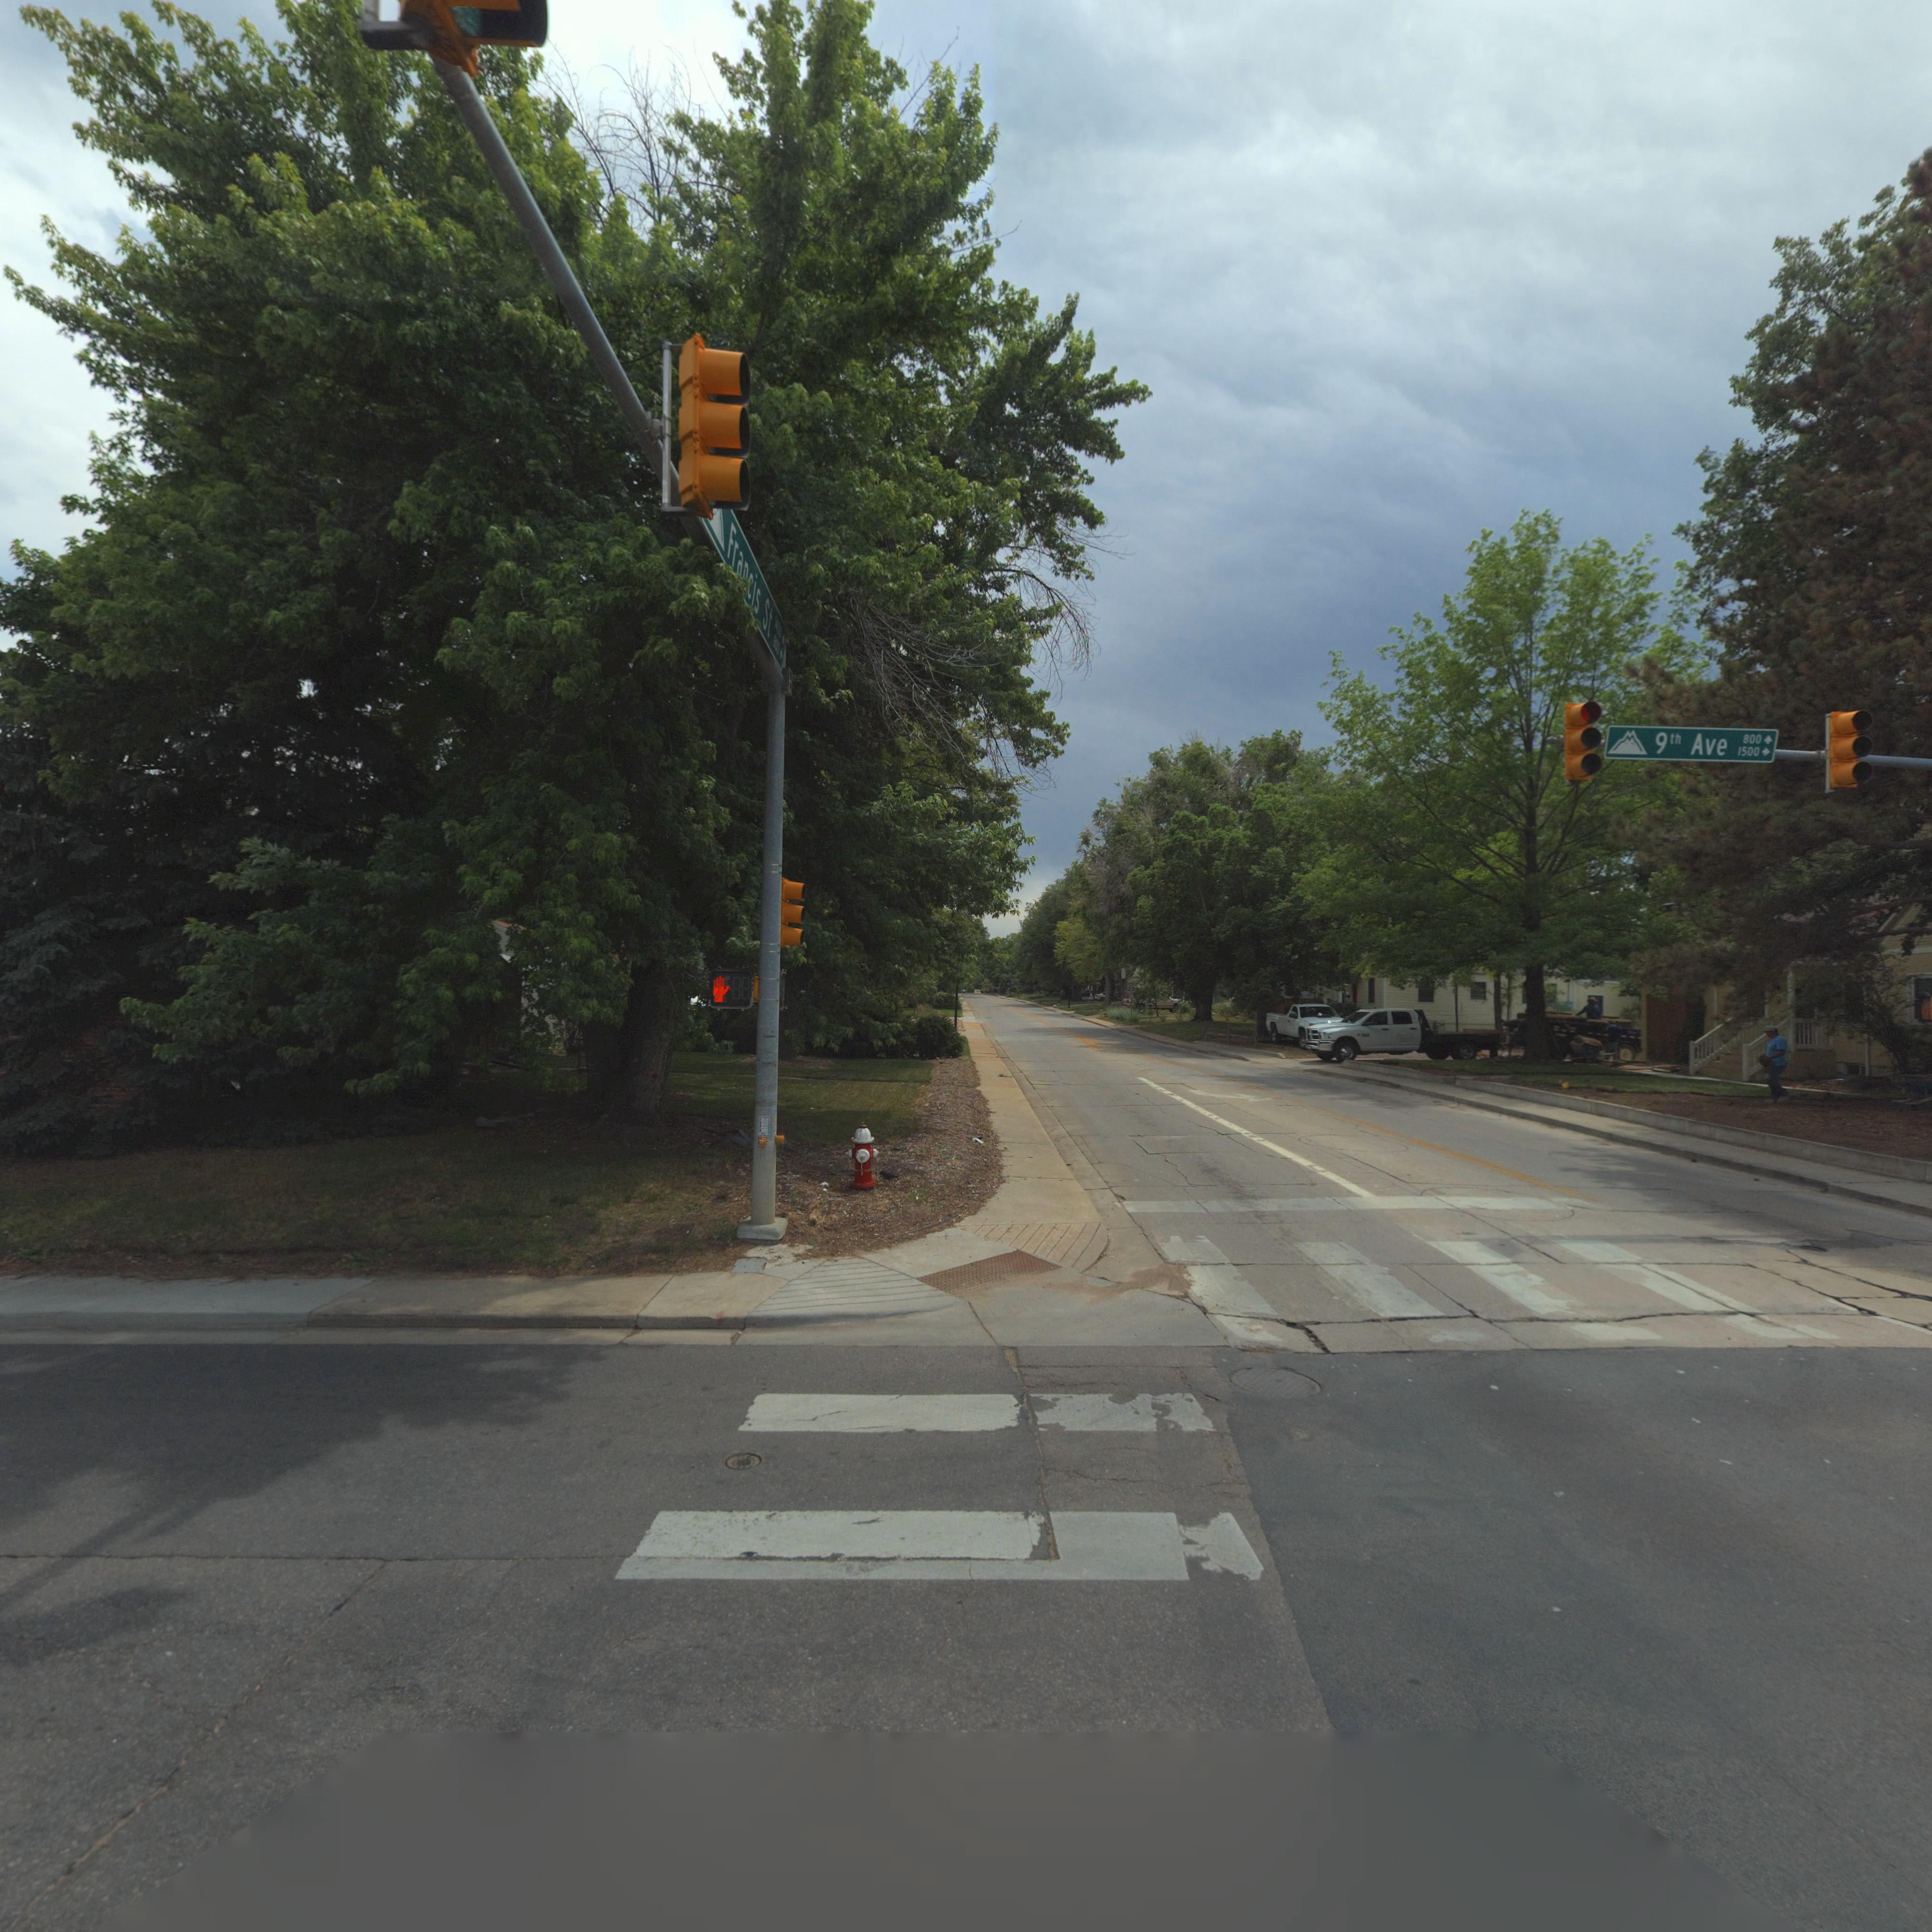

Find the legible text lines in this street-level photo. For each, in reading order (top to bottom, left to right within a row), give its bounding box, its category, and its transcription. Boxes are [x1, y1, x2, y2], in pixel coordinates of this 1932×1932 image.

[726, 521, 773, 640] StreetName: Fra*cis St
[773, 614, 783, 639] StreetNumberRange: 1400
[773, 635, 783, 659] StreetNumberRange: 800->
[1655, 731, 1728, 756] StreetName: 9th Ave
[1742, 734, 1762, 744] StreetNumberRange: 800
[1737, 746, 1771, 756] StreetNumberRange: 1500->